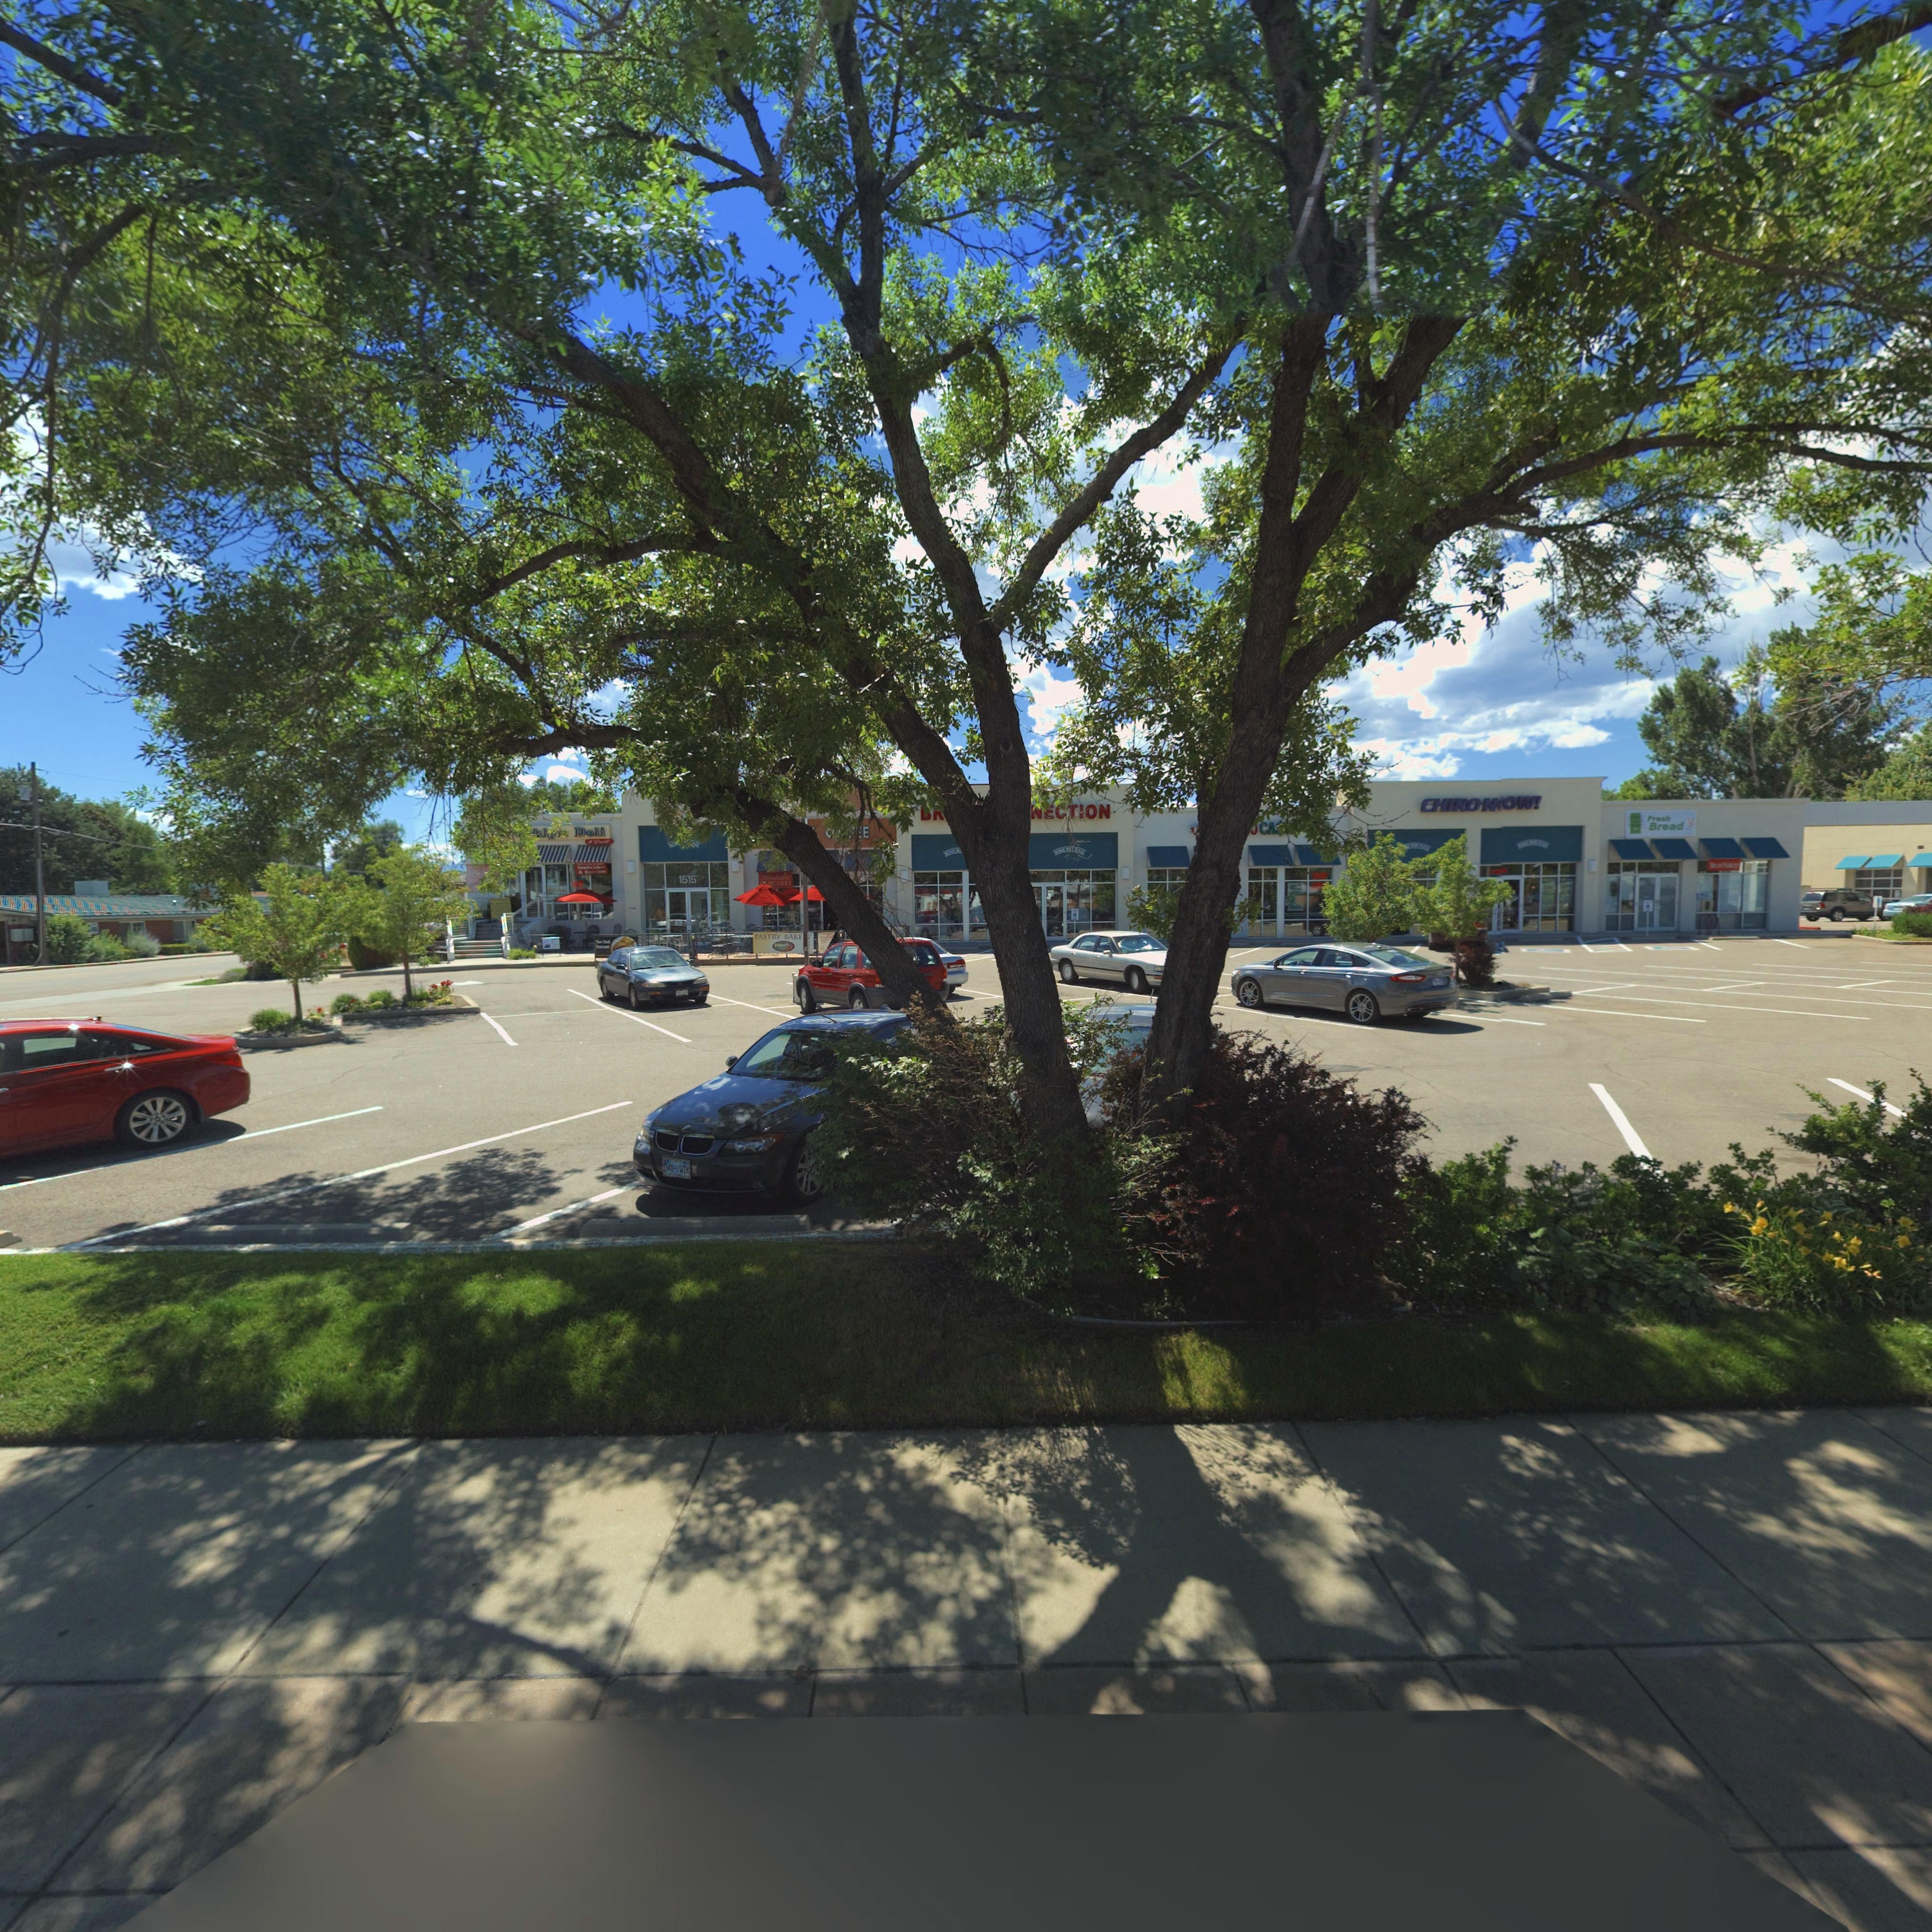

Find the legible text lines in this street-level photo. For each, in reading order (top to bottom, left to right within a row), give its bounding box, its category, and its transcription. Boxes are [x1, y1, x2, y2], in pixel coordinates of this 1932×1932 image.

[1420, 795, 1542, 812] BusinessName: CHIRO N*OW!
[920, 803, 1111, 821] BusinessName: BR**** ***NECTION
[491, 827, 605, 840] BusinessName: ****kl*m Deli
[778, 826, 869, 838] BusinessName: ***** COFFEE
[1215, 822, 1295, 835] BusinessName: ***** ***O CAS*
[678, 875, 696, 883] StreetNumber: 1515